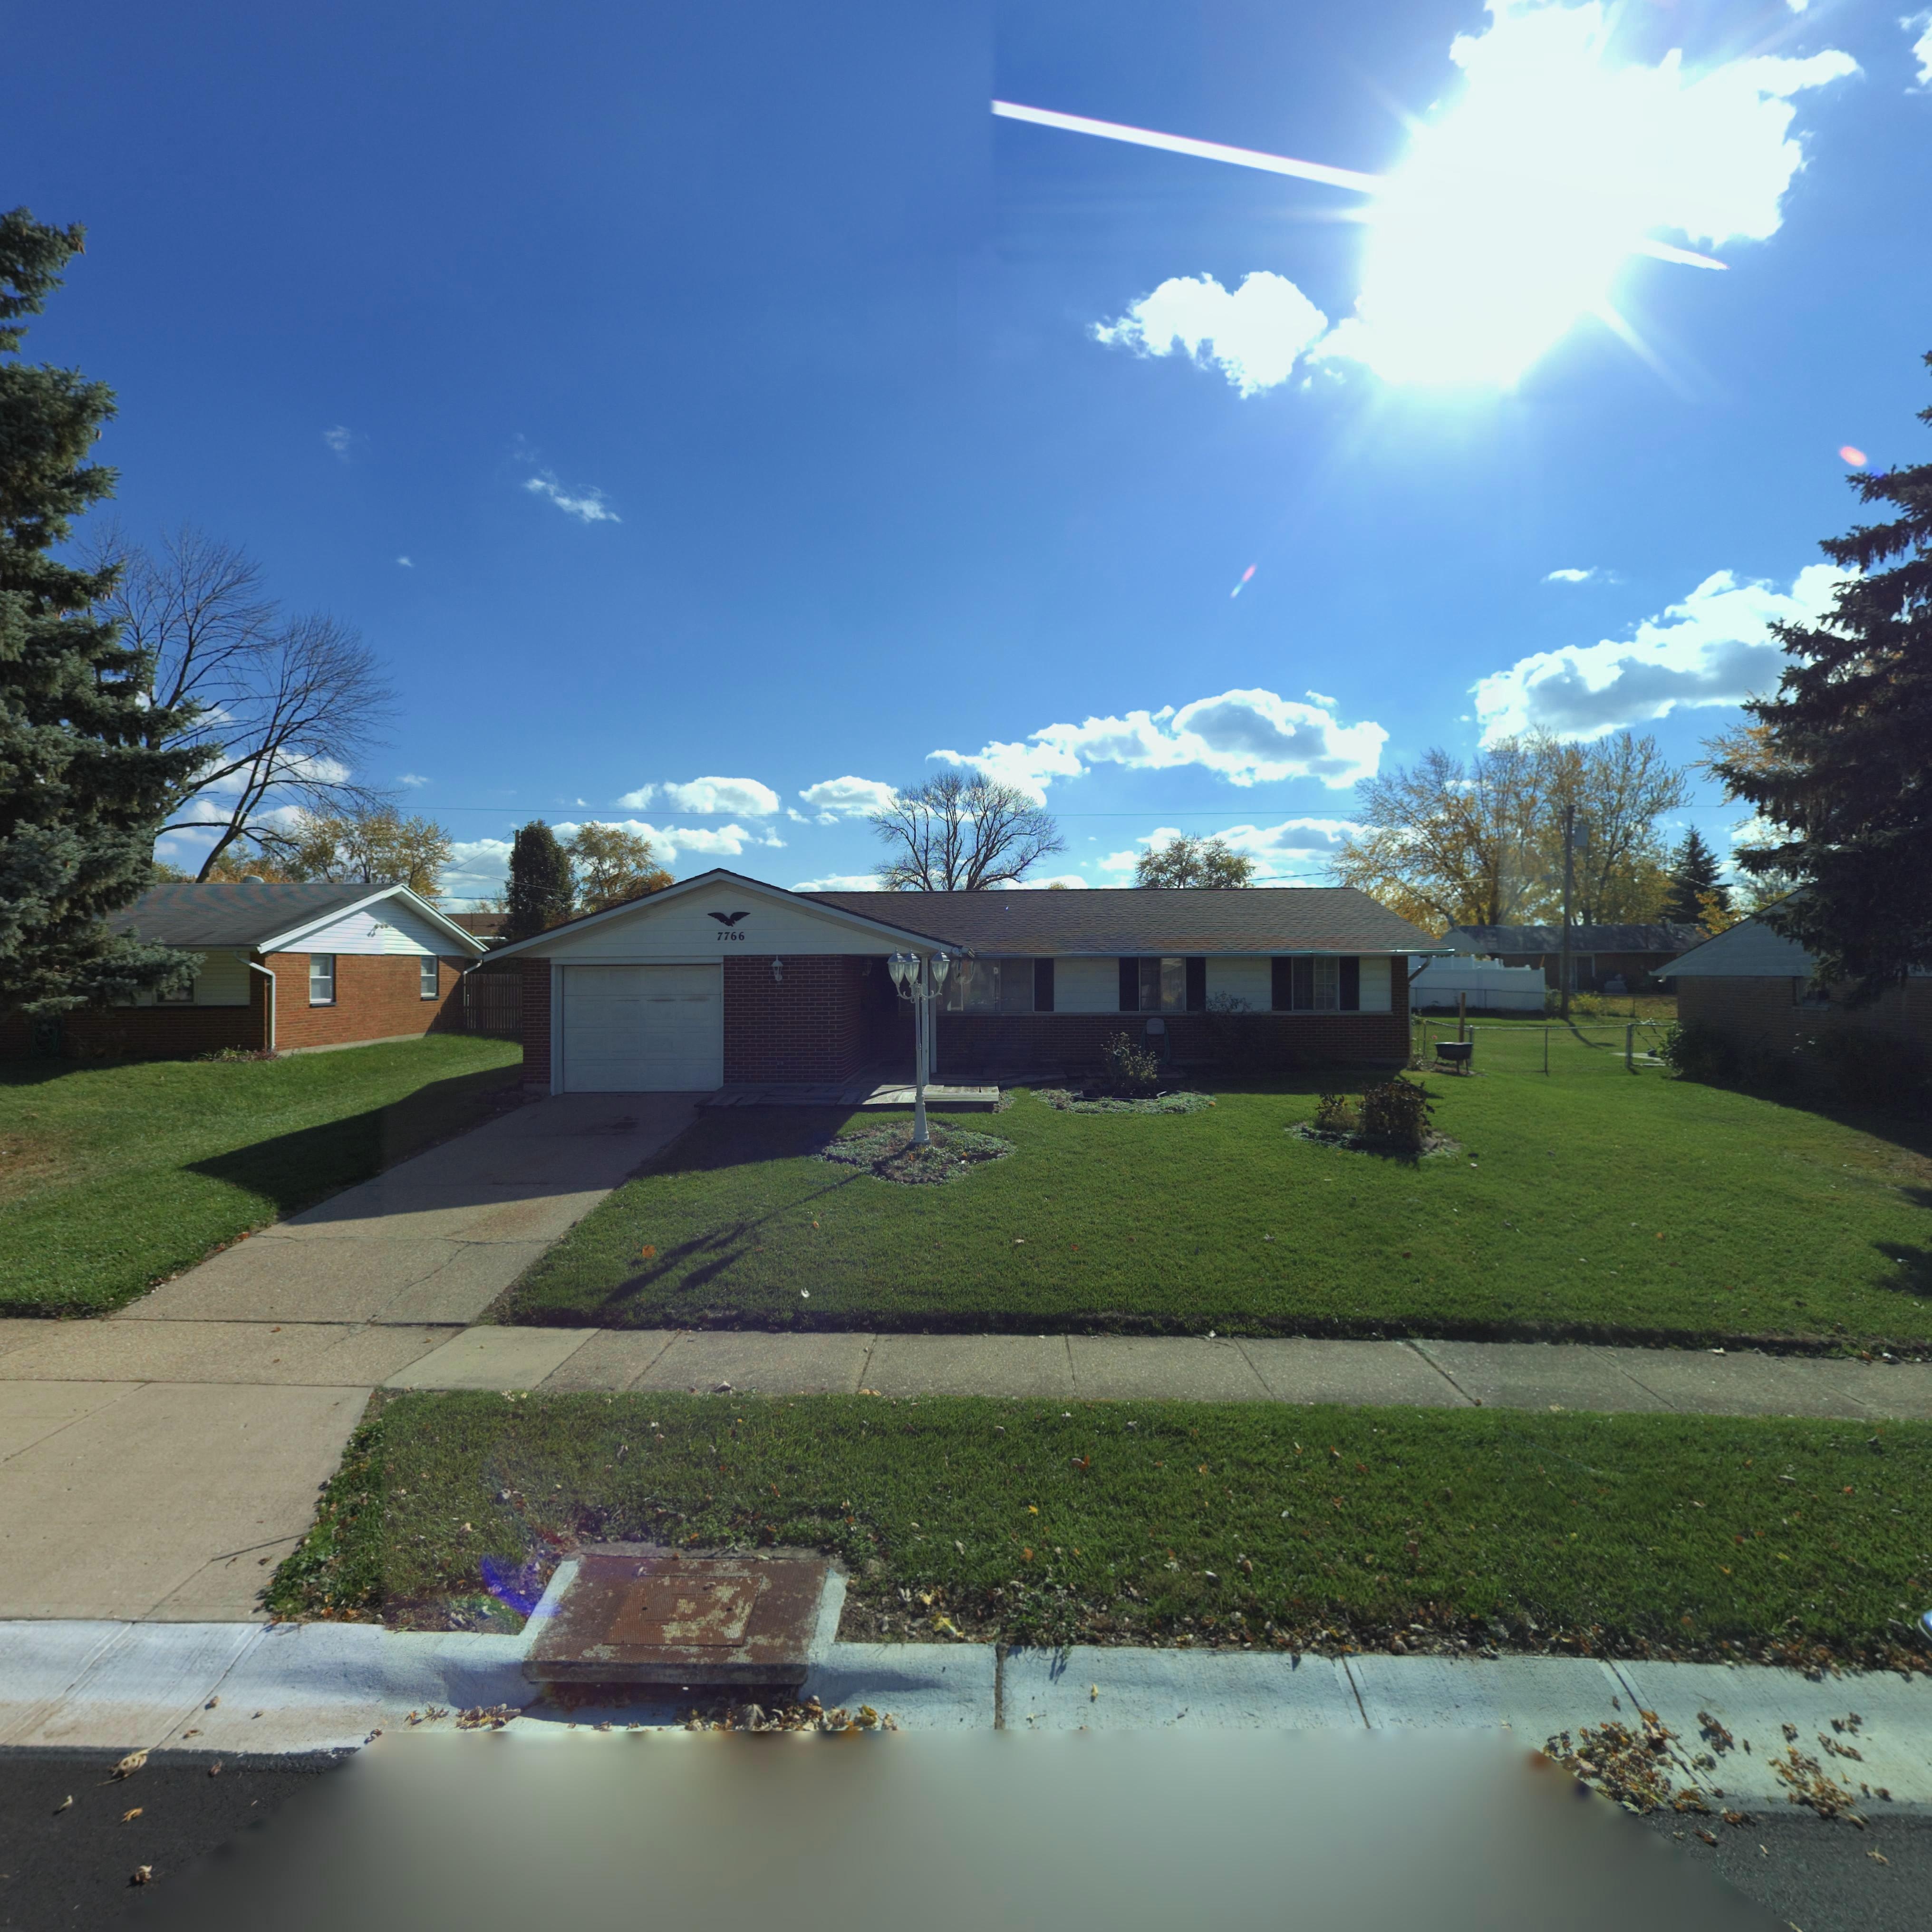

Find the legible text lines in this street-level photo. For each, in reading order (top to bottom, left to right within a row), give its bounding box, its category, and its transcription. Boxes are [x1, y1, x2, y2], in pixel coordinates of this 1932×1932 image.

[717, 931, 745, 942] StreetNumber: 7766